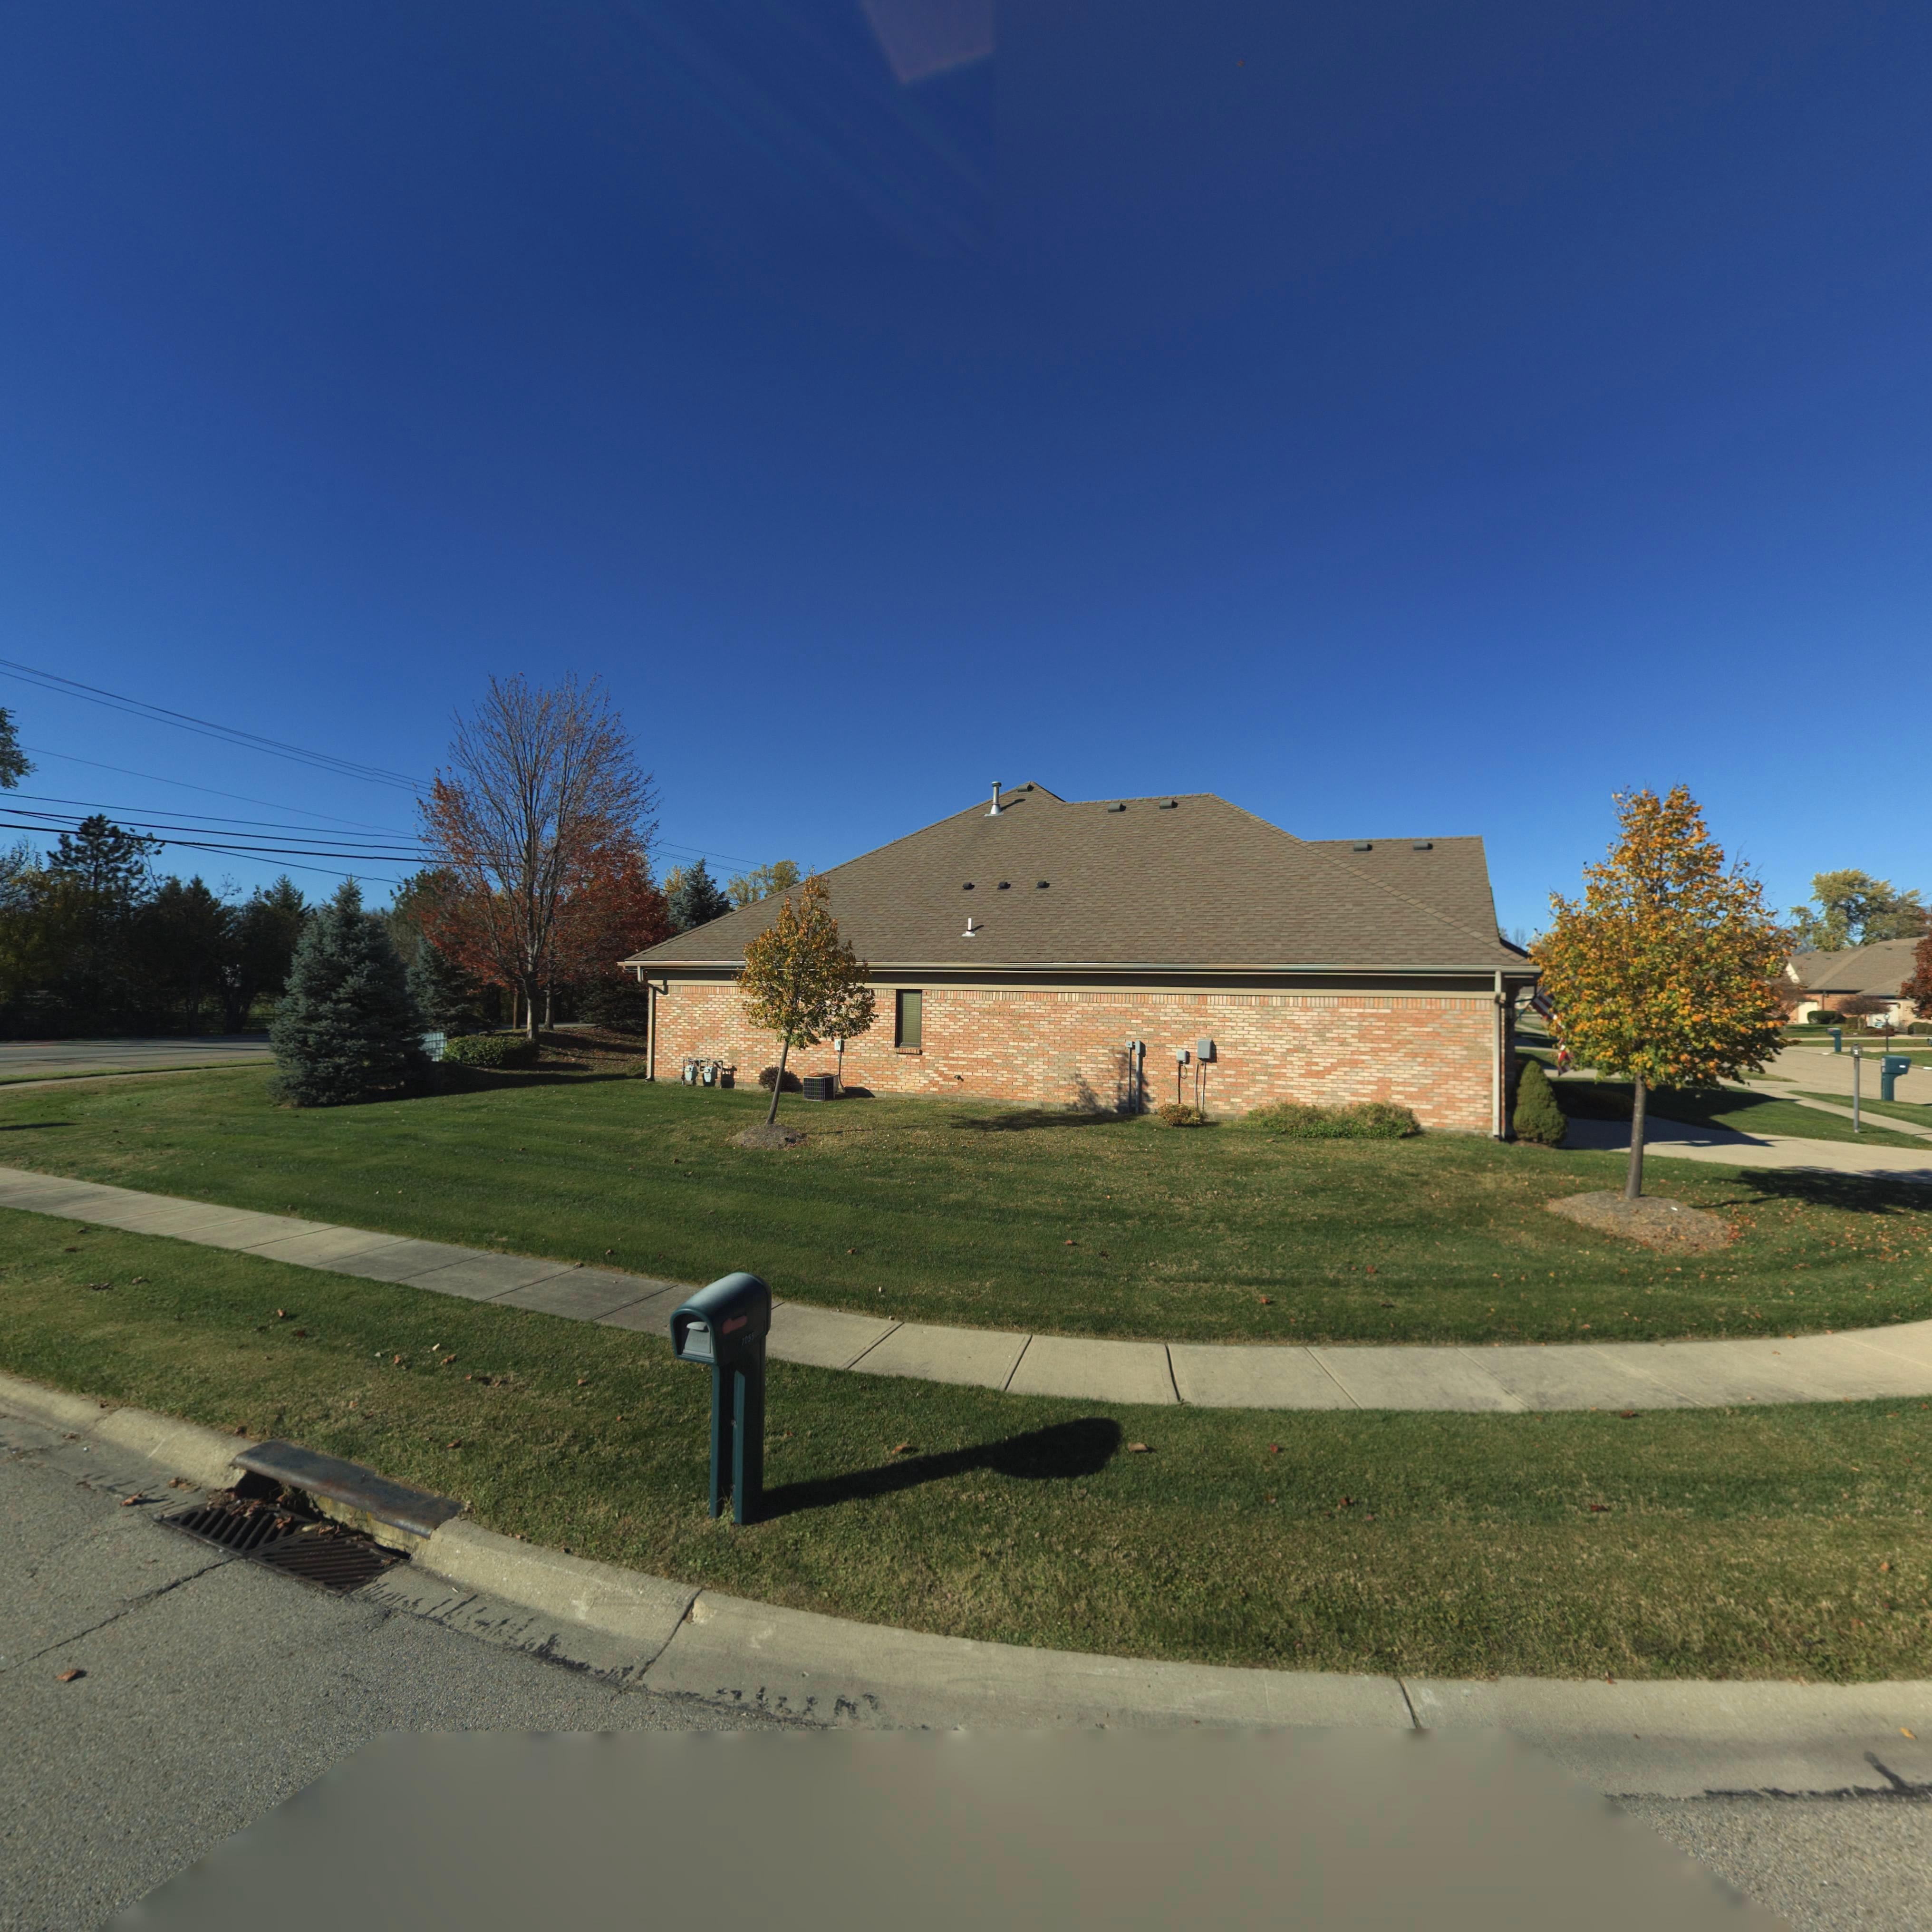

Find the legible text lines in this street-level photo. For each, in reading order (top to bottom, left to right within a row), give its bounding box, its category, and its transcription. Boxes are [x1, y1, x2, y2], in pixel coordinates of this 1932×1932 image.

[740, 1331, 755, 1347] StreetNumber: 7055